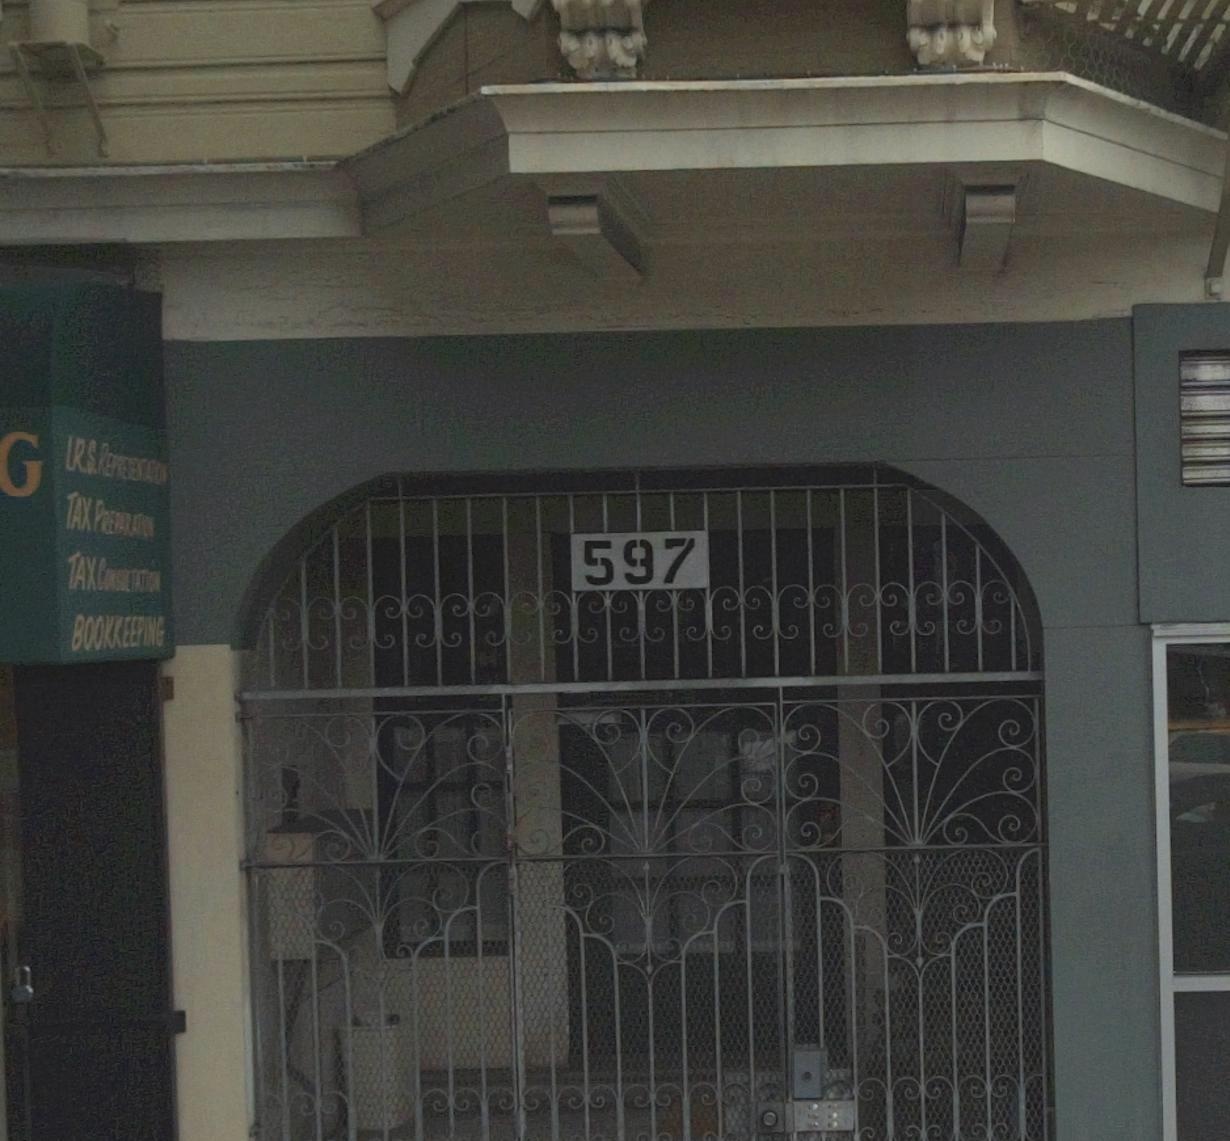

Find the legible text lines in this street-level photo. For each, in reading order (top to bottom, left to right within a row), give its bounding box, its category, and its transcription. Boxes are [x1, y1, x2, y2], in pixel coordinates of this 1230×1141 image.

[62, 431, 100, 475] None: IRS
[63, 489, 94, 533] None: TAX
[65, 549, 100, 593] None: TAX
[581, 535, 703, 587] StreetNumber: 597
[68, 611, 170, 655] None: BOOKKEEPING